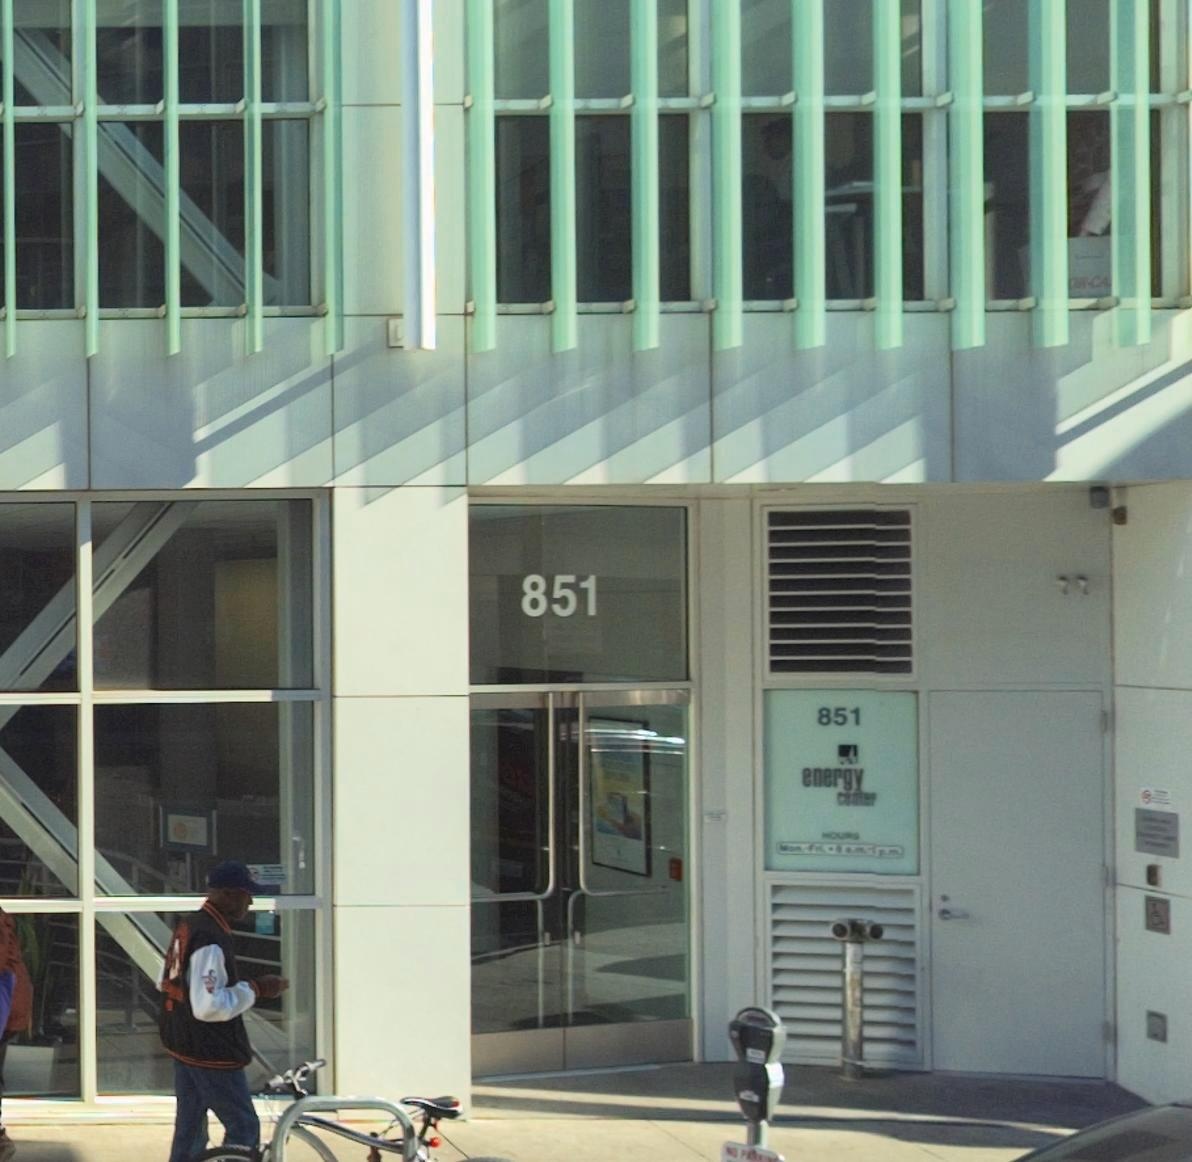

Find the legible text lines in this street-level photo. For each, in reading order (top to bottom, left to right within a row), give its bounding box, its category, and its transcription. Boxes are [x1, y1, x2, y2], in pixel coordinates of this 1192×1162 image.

[520, 573, 598, 618] StreetNumber: 851
[816, 706, 861, 727] StreetNumber: 851
[801, 766, 865, 792] BusinessName: energy
[836, 791, 877, 808] BusinessName: center
[820, 830, 861, 841] None: HOURS